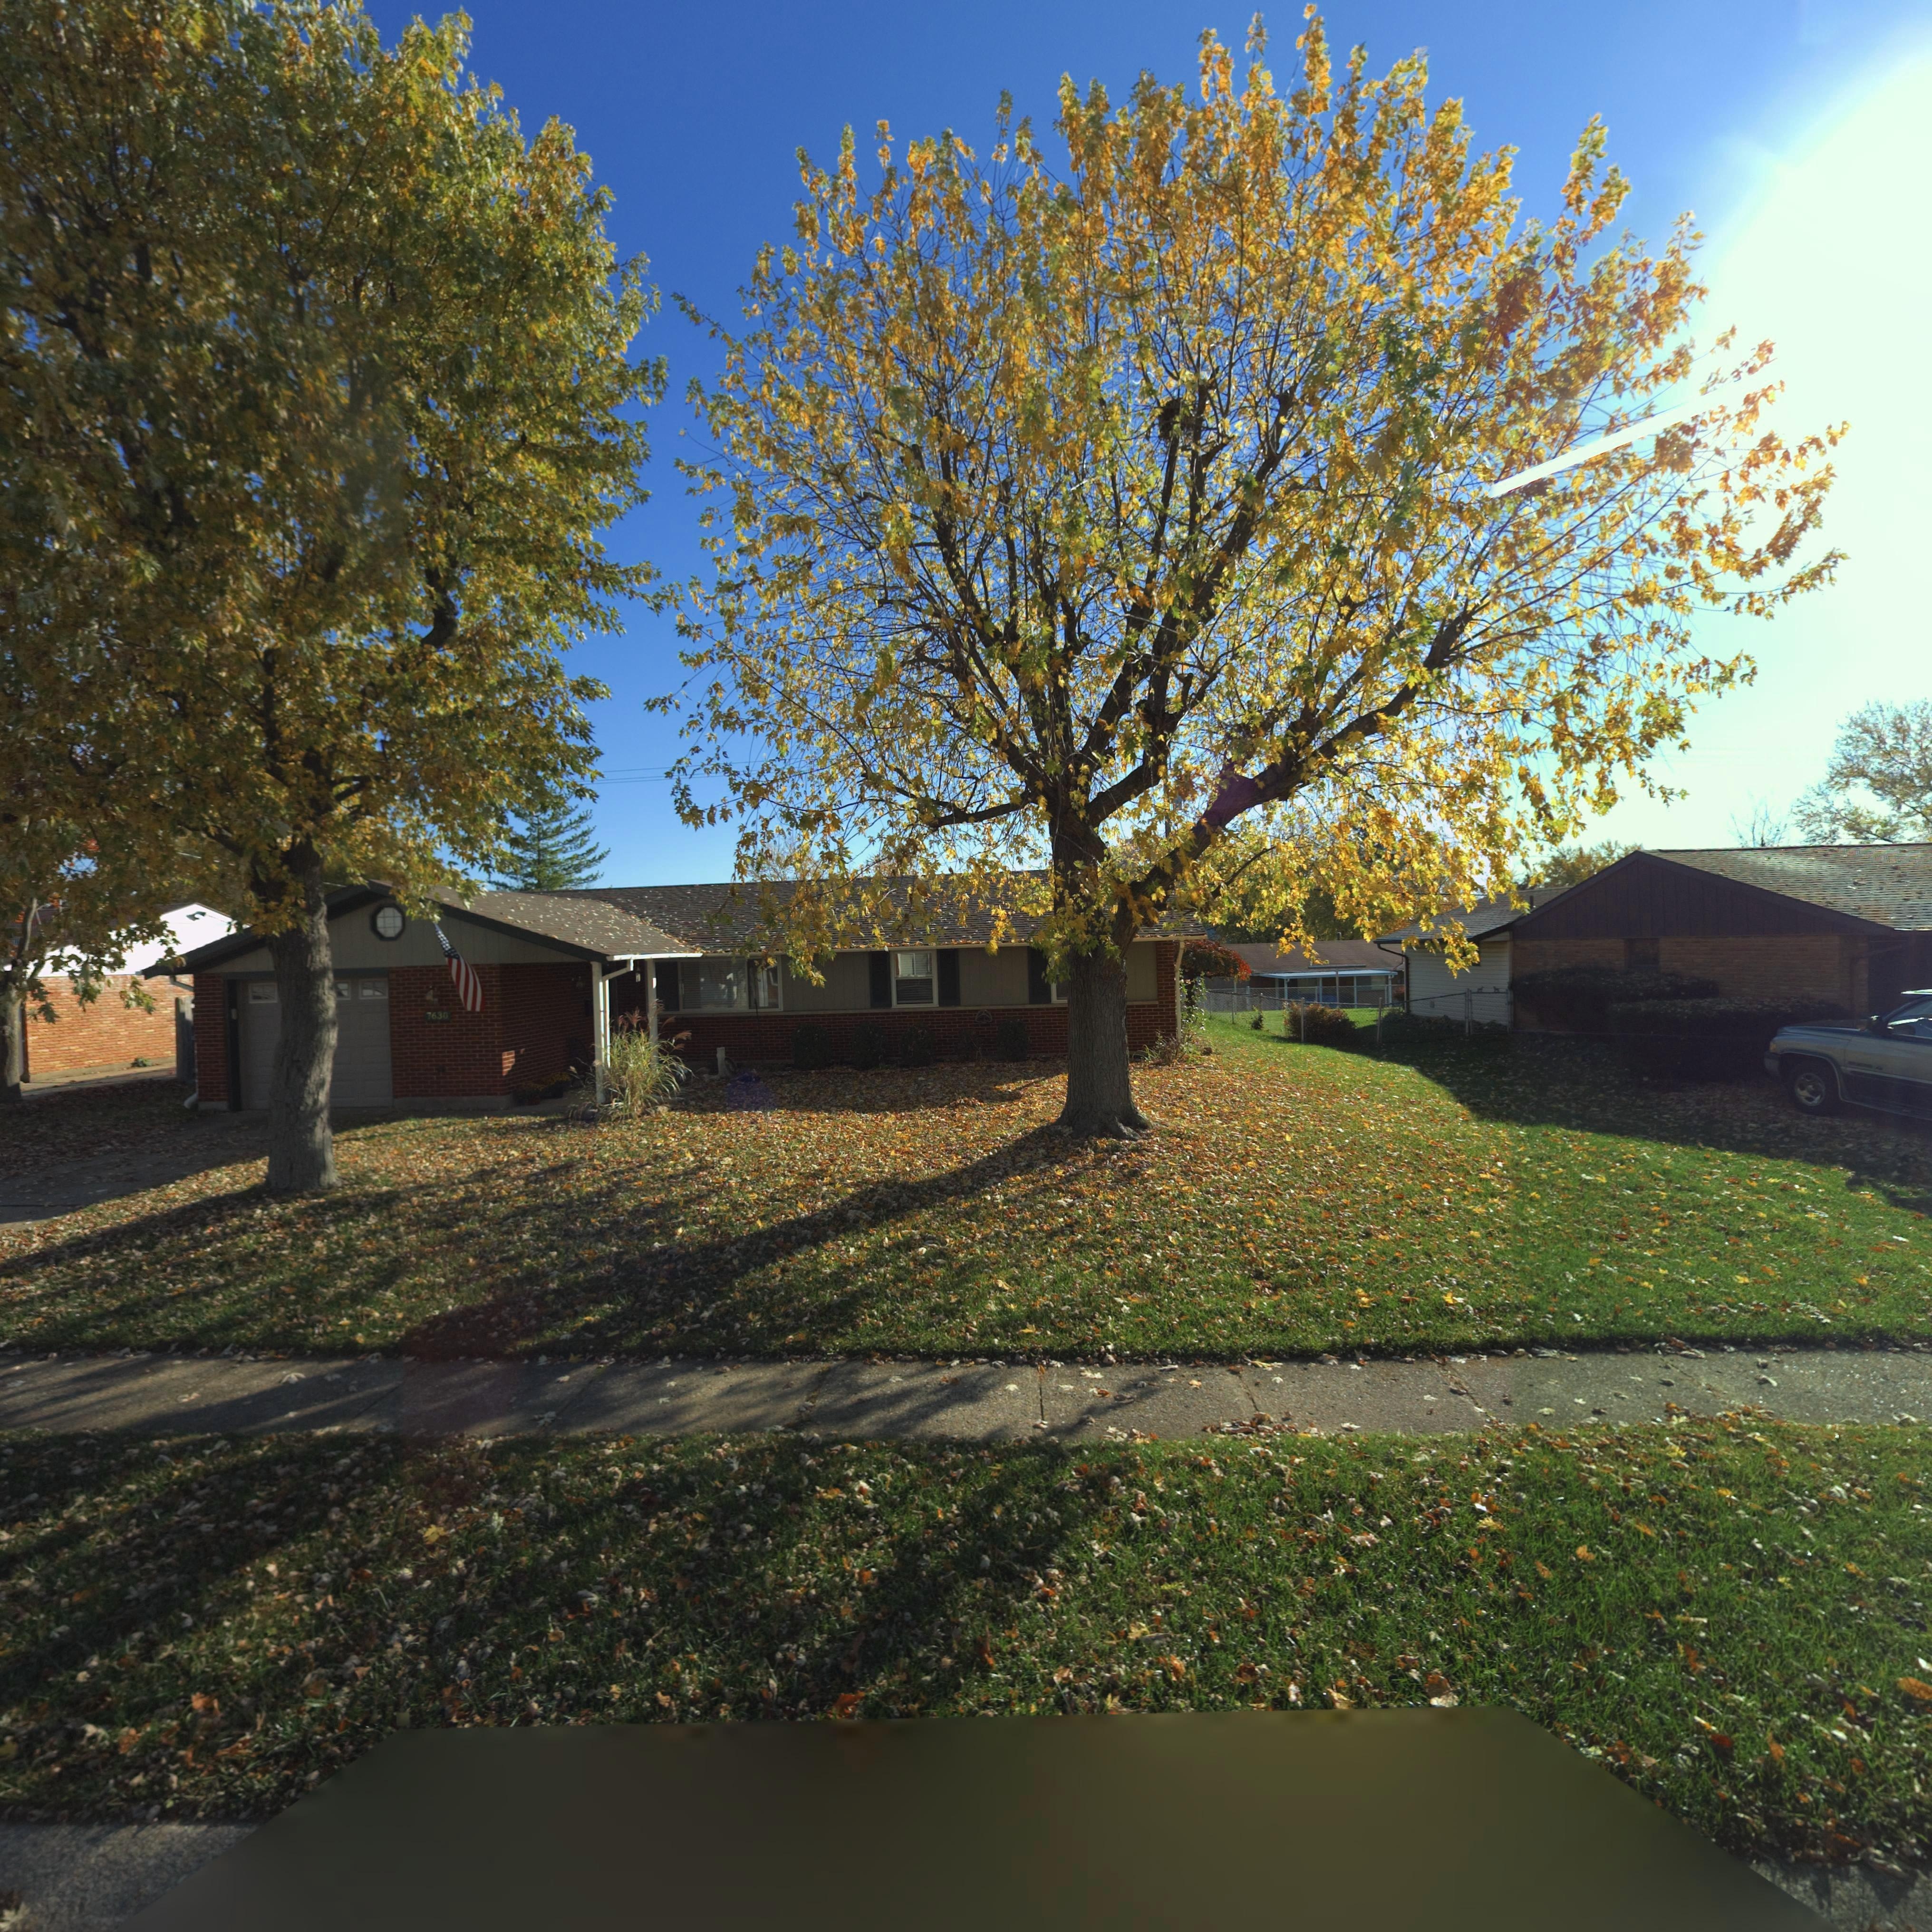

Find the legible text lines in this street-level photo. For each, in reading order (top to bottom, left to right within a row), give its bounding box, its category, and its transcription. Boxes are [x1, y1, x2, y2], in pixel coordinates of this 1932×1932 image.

[425, 1010, 450, 1021] StreetNumber: 7630